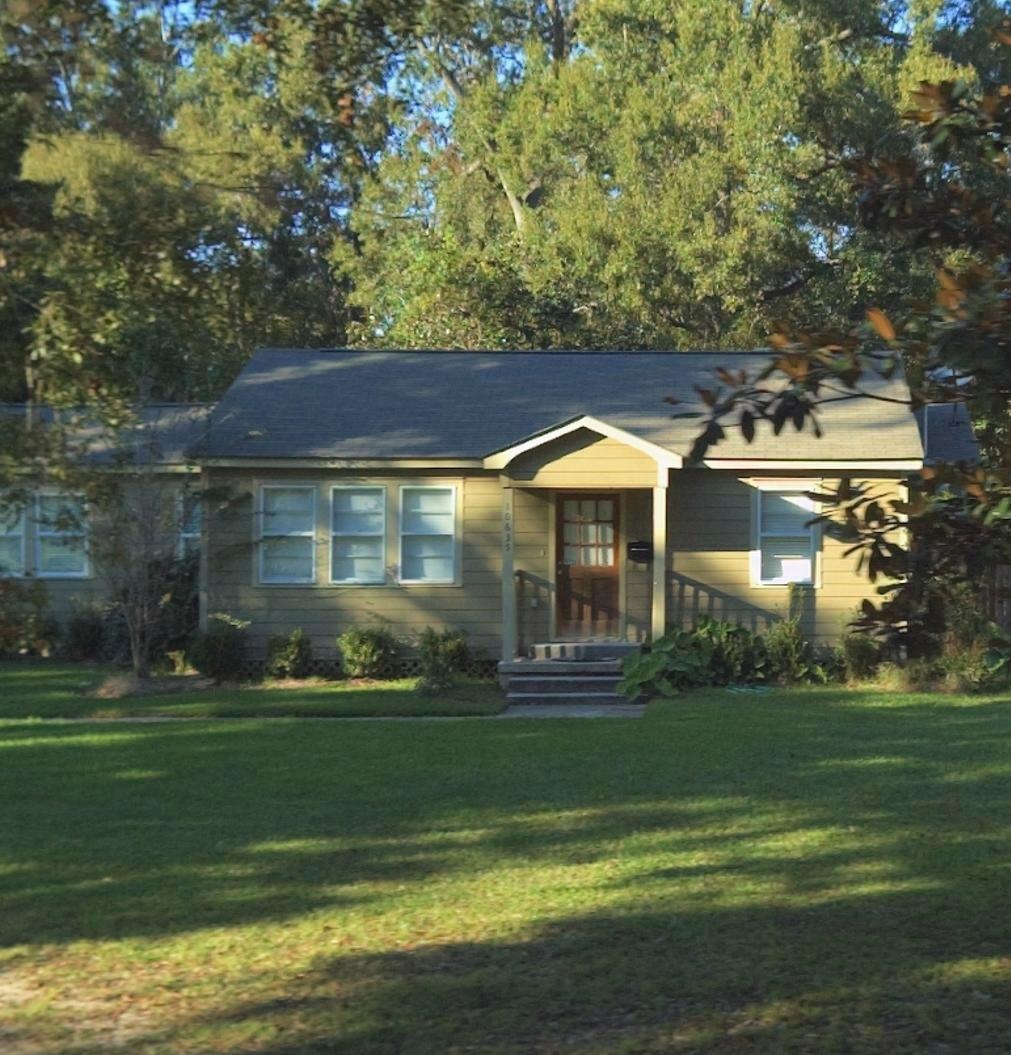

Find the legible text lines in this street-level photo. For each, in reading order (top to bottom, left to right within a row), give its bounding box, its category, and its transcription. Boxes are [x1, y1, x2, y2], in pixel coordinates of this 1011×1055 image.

[504, 502, 512, 554] StreetNumber: 10635